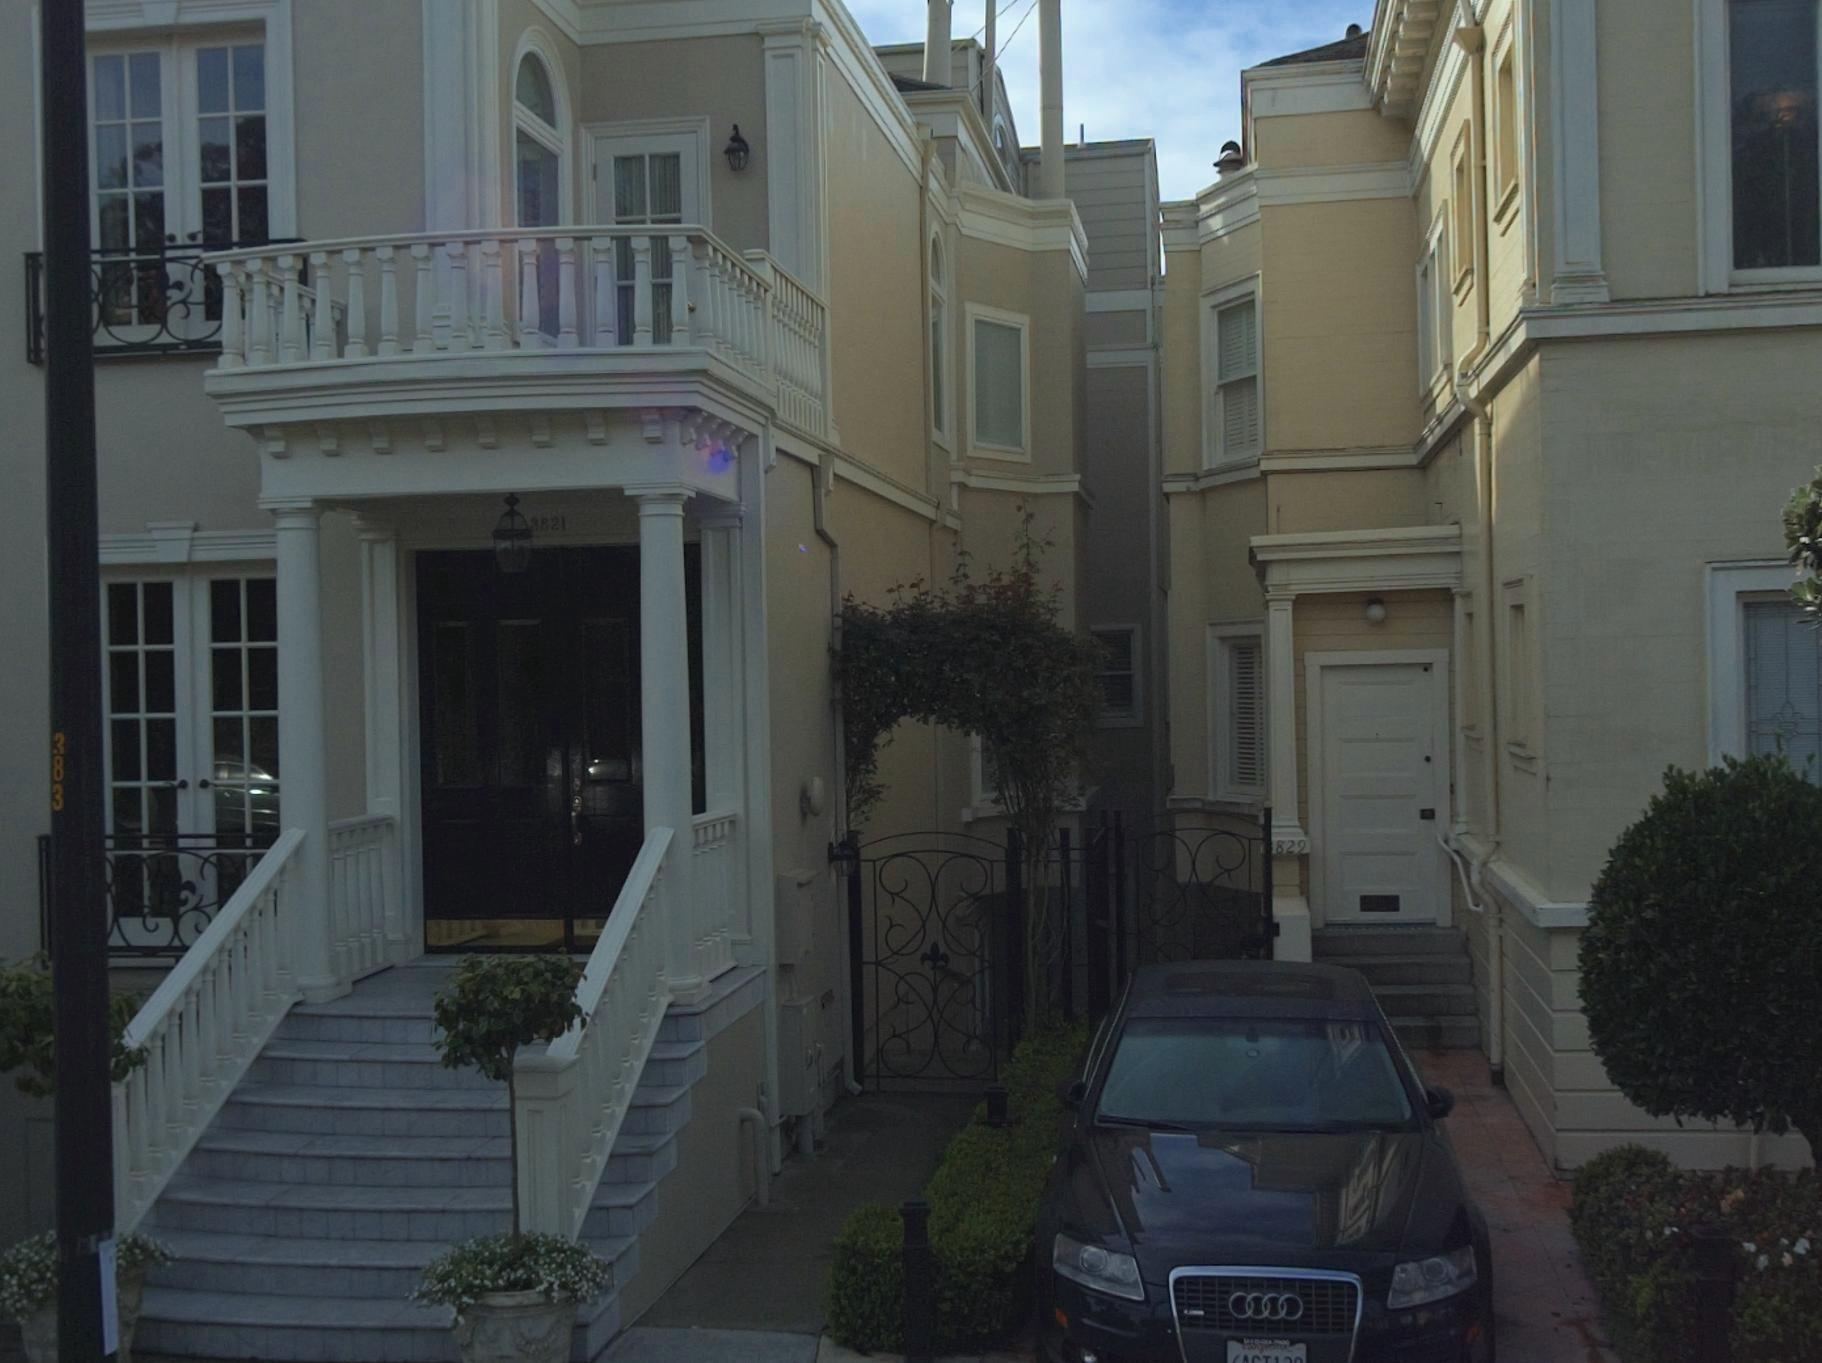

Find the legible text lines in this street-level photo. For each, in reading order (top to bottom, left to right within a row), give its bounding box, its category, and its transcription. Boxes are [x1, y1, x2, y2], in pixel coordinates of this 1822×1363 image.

[529, 515, 568, 533] StreetNumber: 3821
[50, 730, 66, 814] None: 383
[1261, 838, 1308, 857] StreetNumber: *829